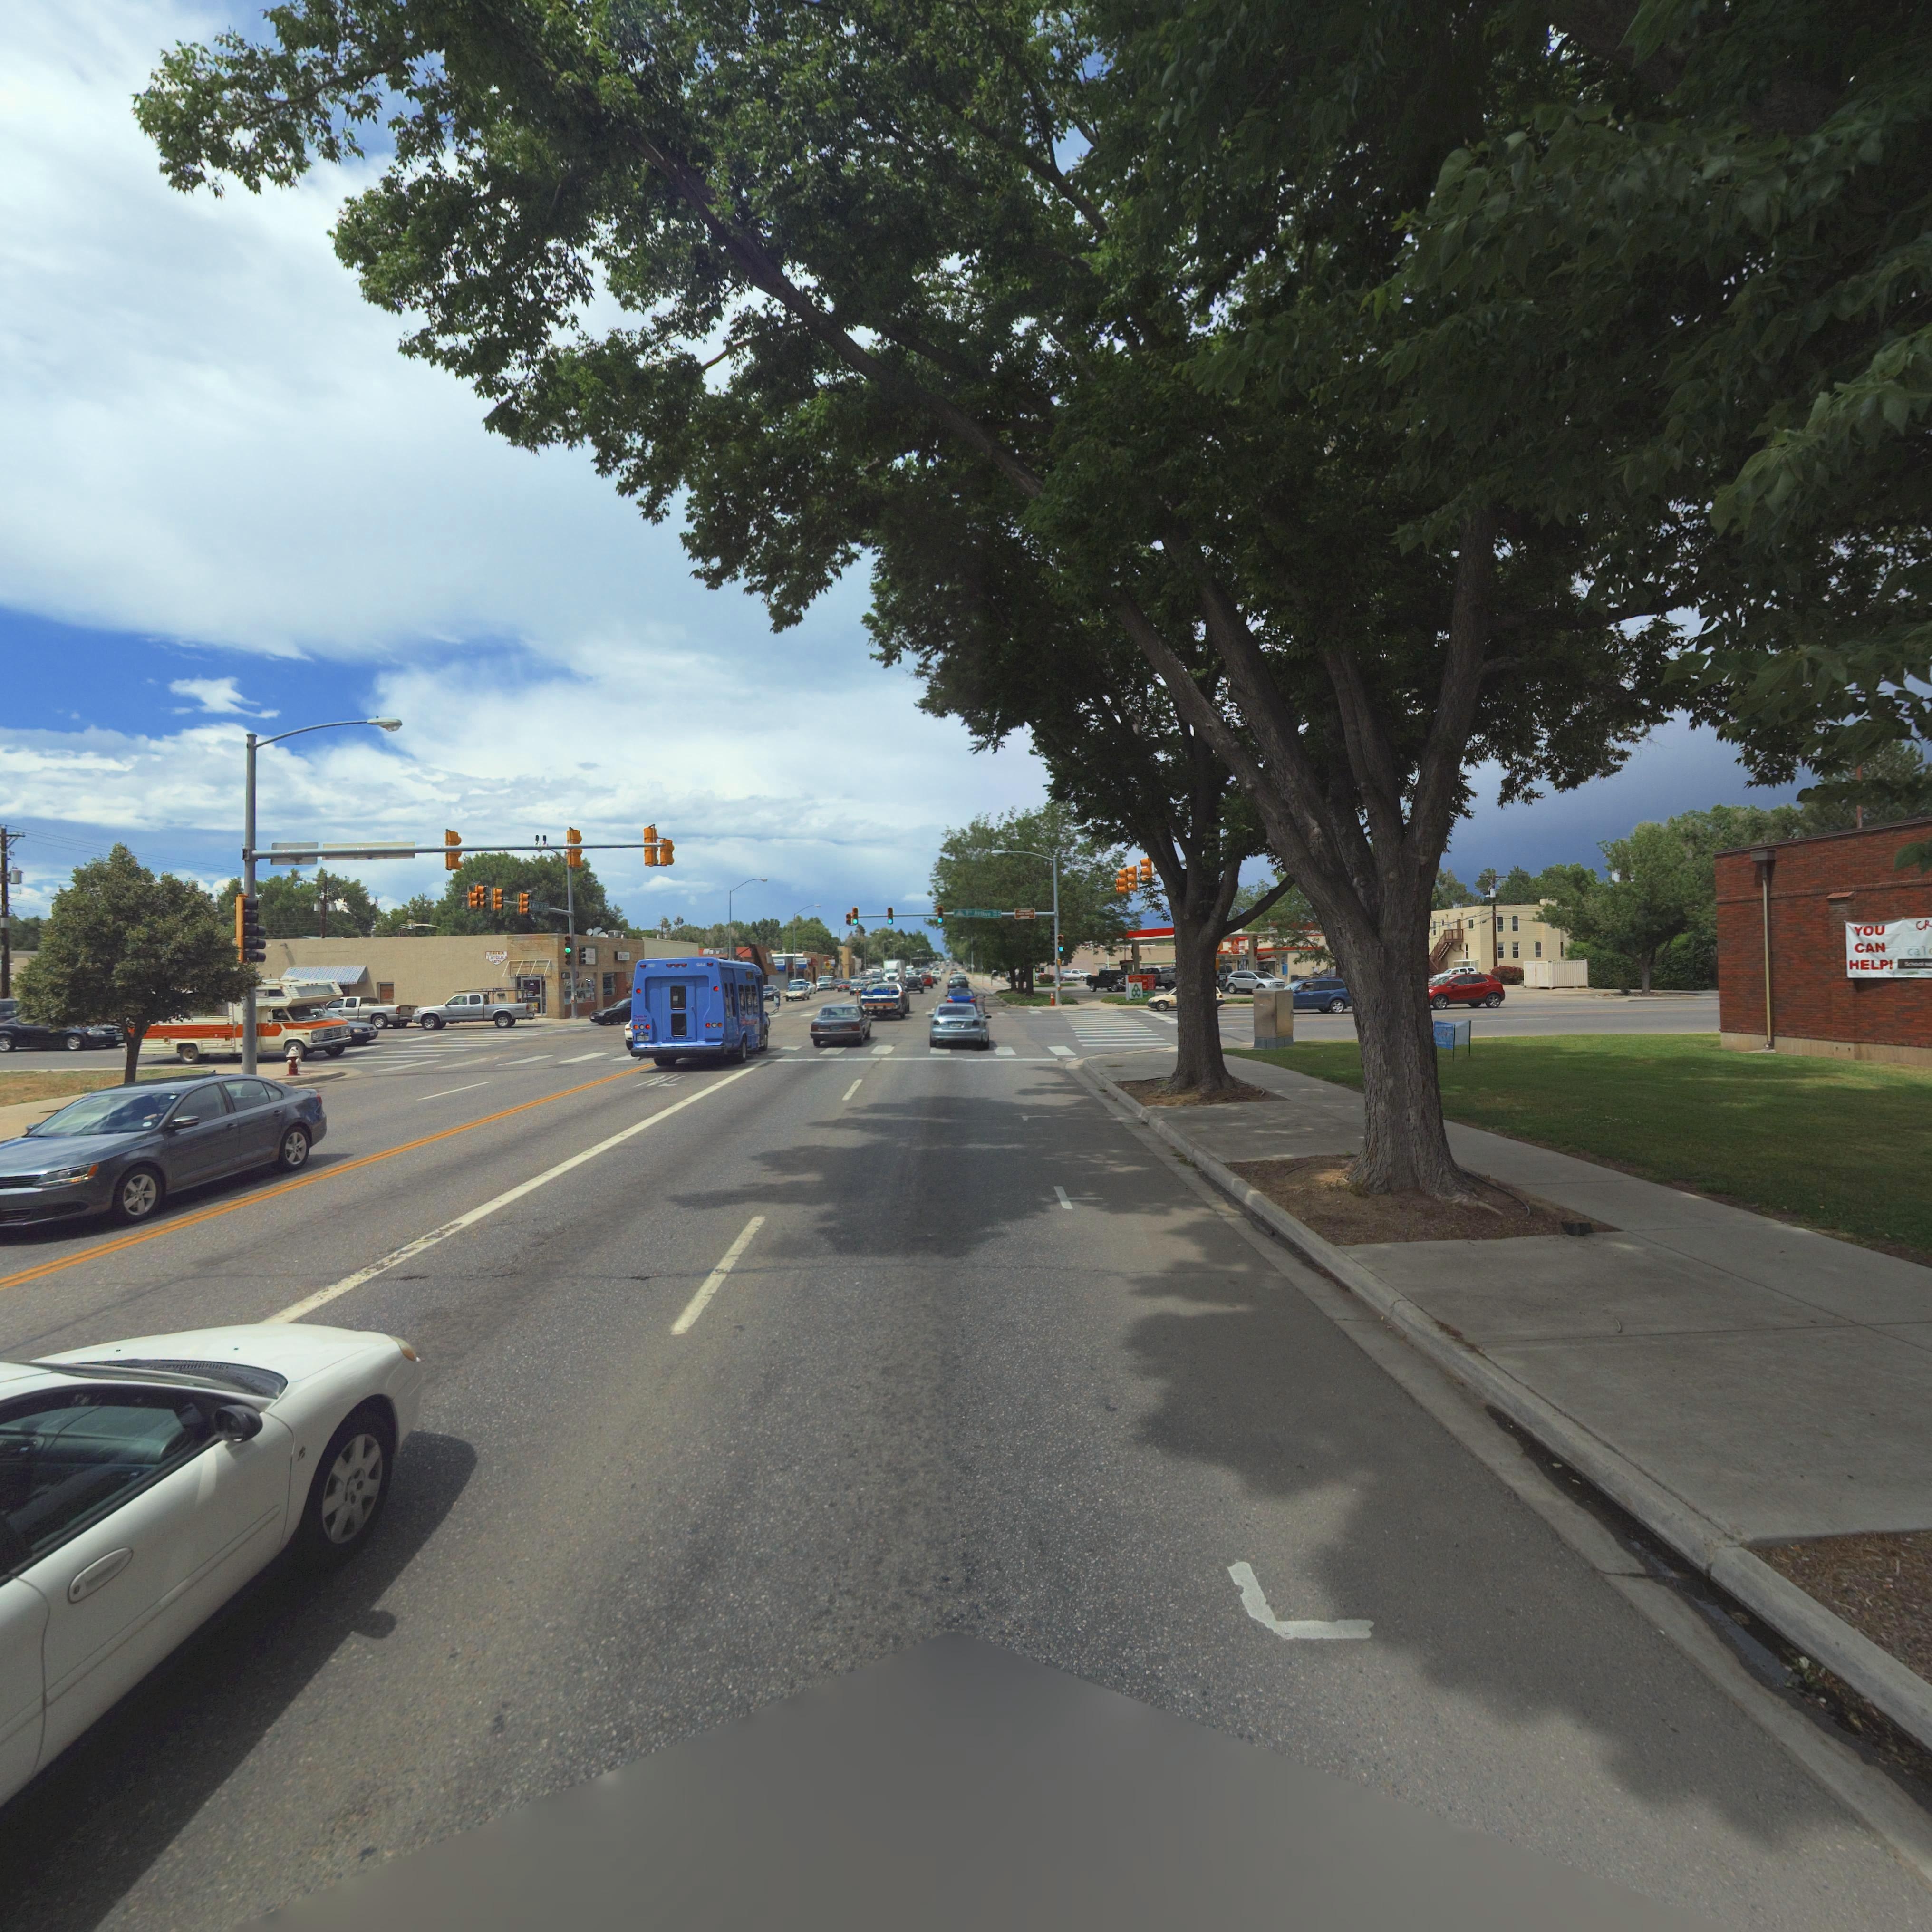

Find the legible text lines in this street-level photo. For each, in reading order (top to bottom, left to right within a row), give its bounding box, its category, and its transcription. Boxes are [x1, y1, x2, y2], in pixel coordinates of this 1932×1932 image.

[532, 903, 543, 909] StreetName: Main St
[965, 909, 983, 916] StreetName: 9** Ave